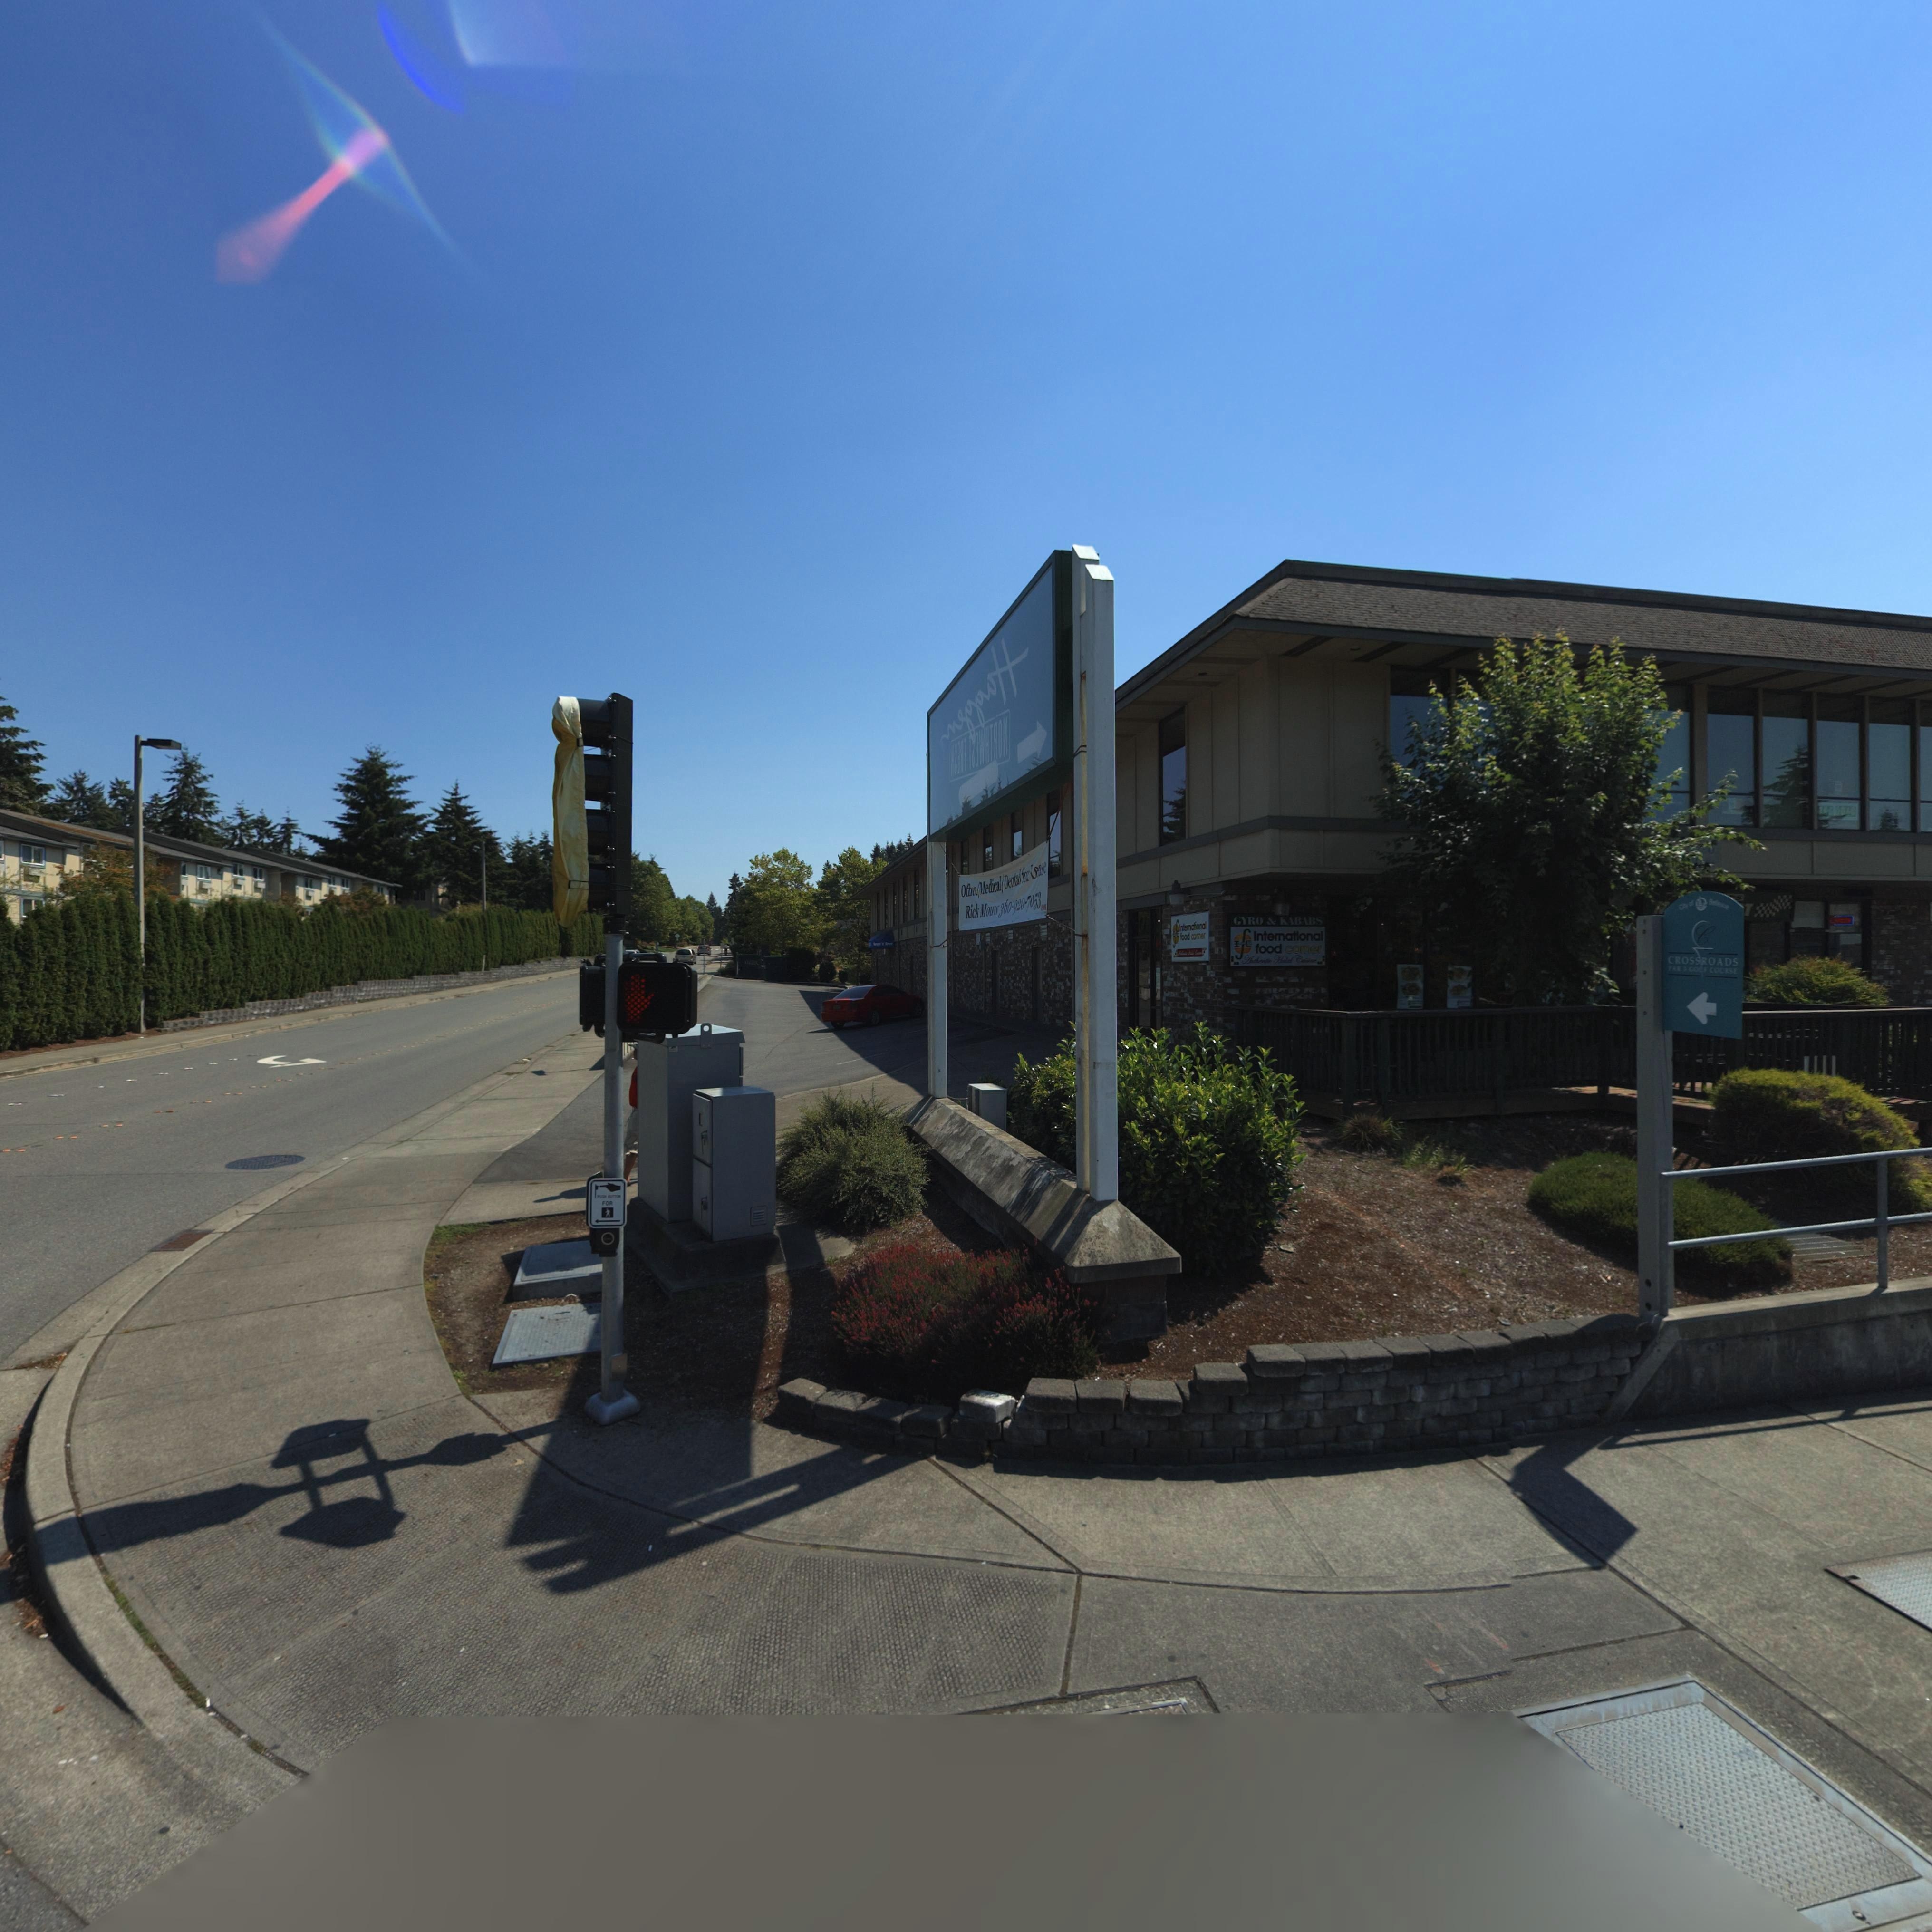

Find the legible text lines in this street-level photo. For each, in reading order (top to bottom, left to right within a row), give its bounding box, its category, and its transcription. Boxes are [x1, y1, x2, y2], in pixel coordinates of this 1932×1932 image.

[1179, 920, 1207, 931] BusinessName: International
[1180, 932, 1206, 941] BusinessName: food corner
[1253, 930, 1323, 941] BusinessName: International
[1255, 943, 1283, 954] BusinessName: food
[1285, 943, 1322, 954] BusinessName: corner
[1666, 954, 1739, 967] BusinessName: CROSSROADS